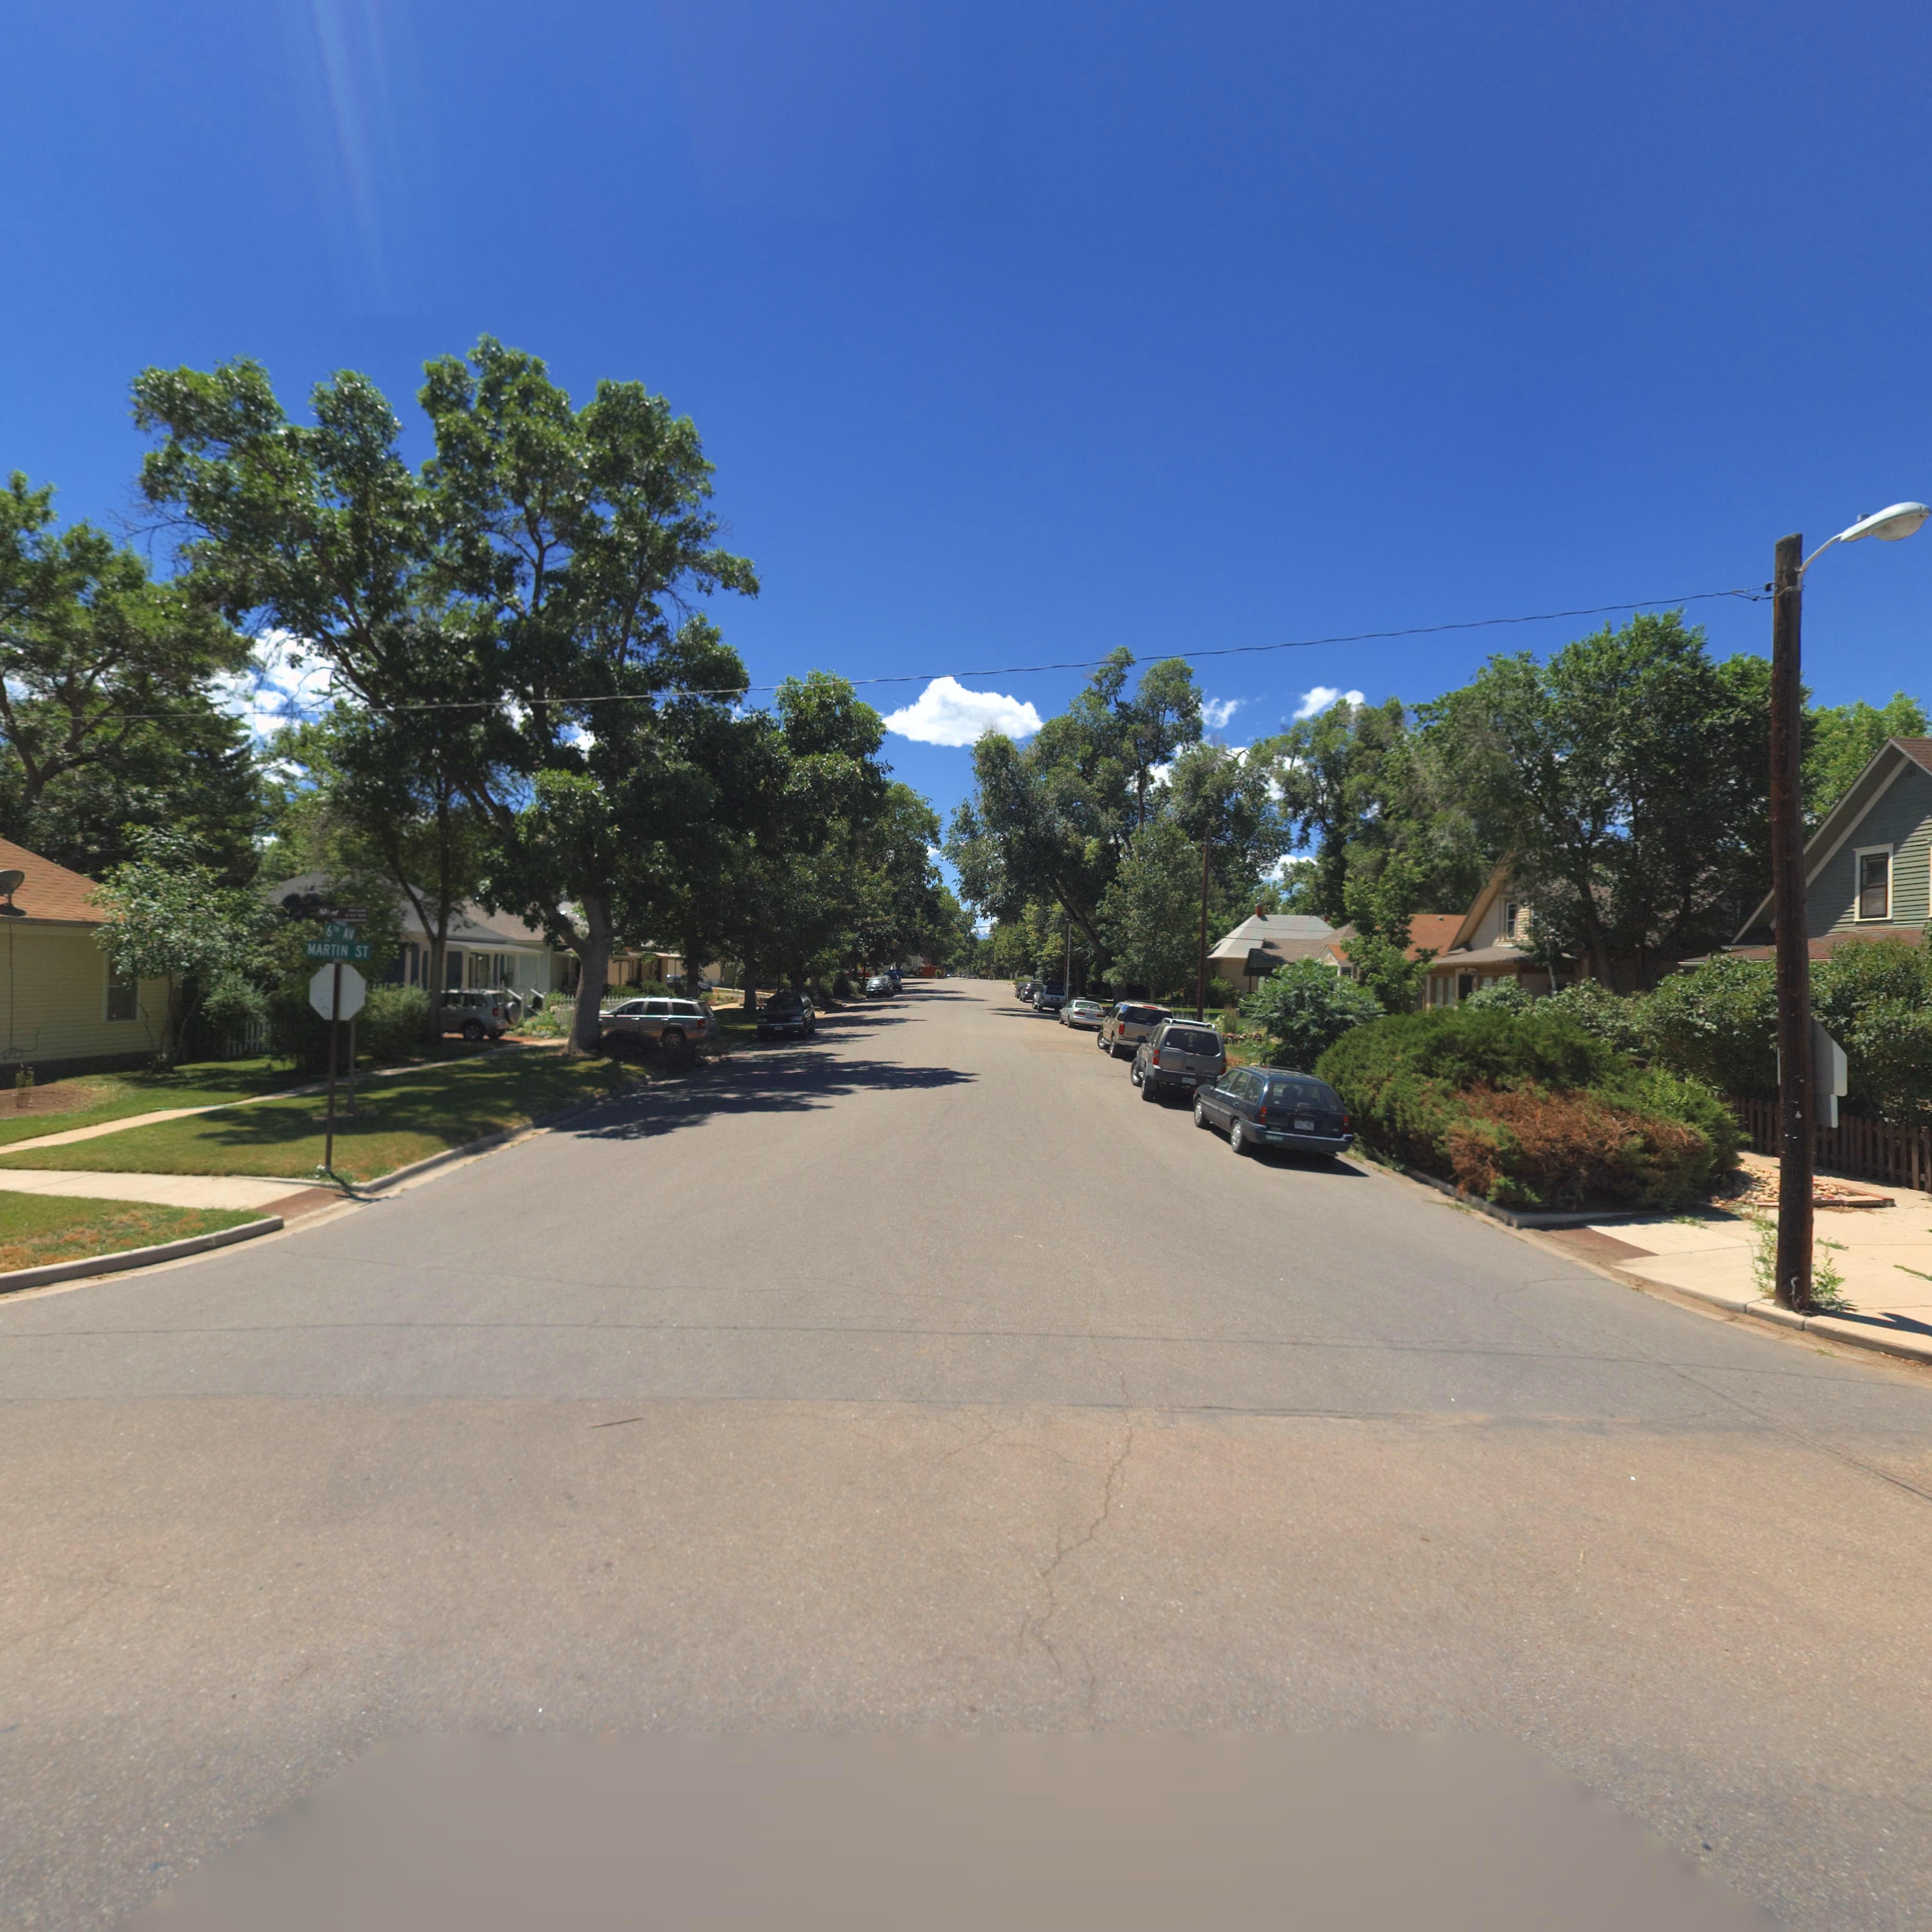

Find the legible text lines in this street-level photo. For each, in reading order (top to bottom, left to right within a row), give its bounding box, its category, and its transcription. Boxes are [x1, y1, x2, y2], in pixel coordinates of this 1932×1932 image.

[325, 923, 356, 941] StreetName: 6** AV
[307, 942, 369, 958] StreetName: MARTIN ST